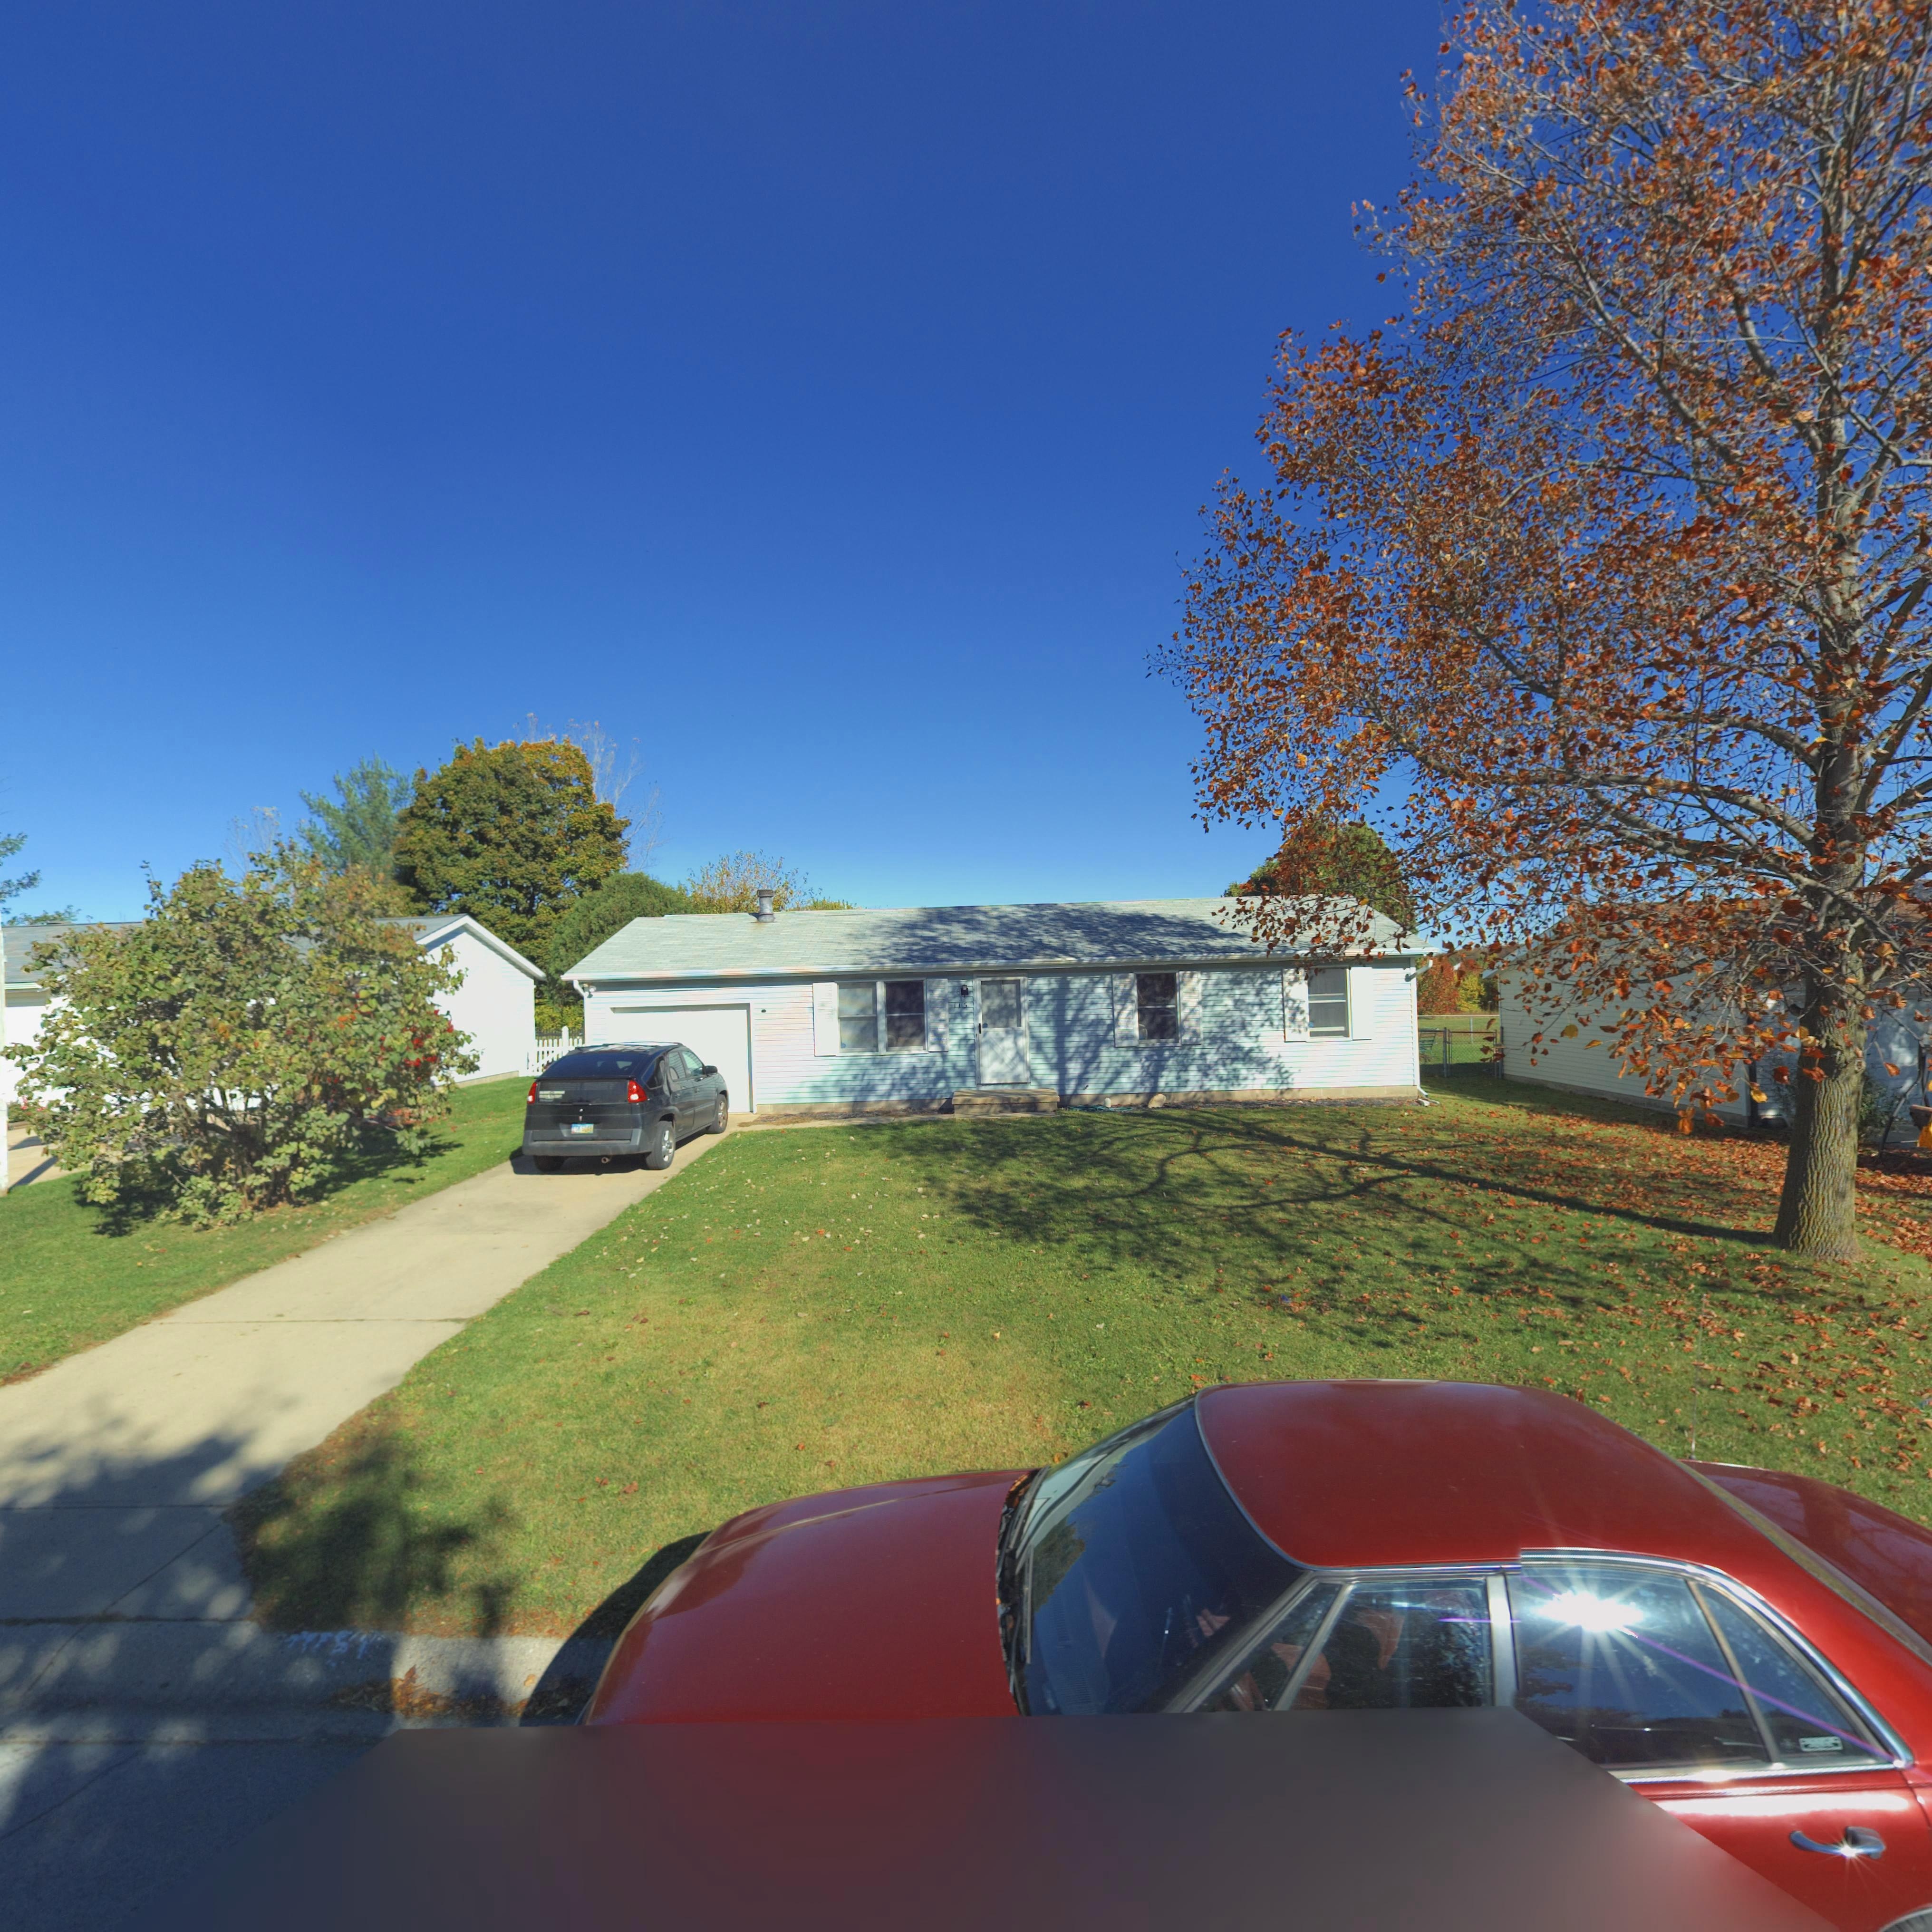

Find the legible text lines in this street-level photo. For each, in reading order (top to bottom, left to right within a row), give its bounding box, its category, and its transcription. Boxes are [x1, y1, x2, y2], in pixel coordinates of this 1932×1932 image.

[953, 1001, 968, 1009] StreetNumber: 115